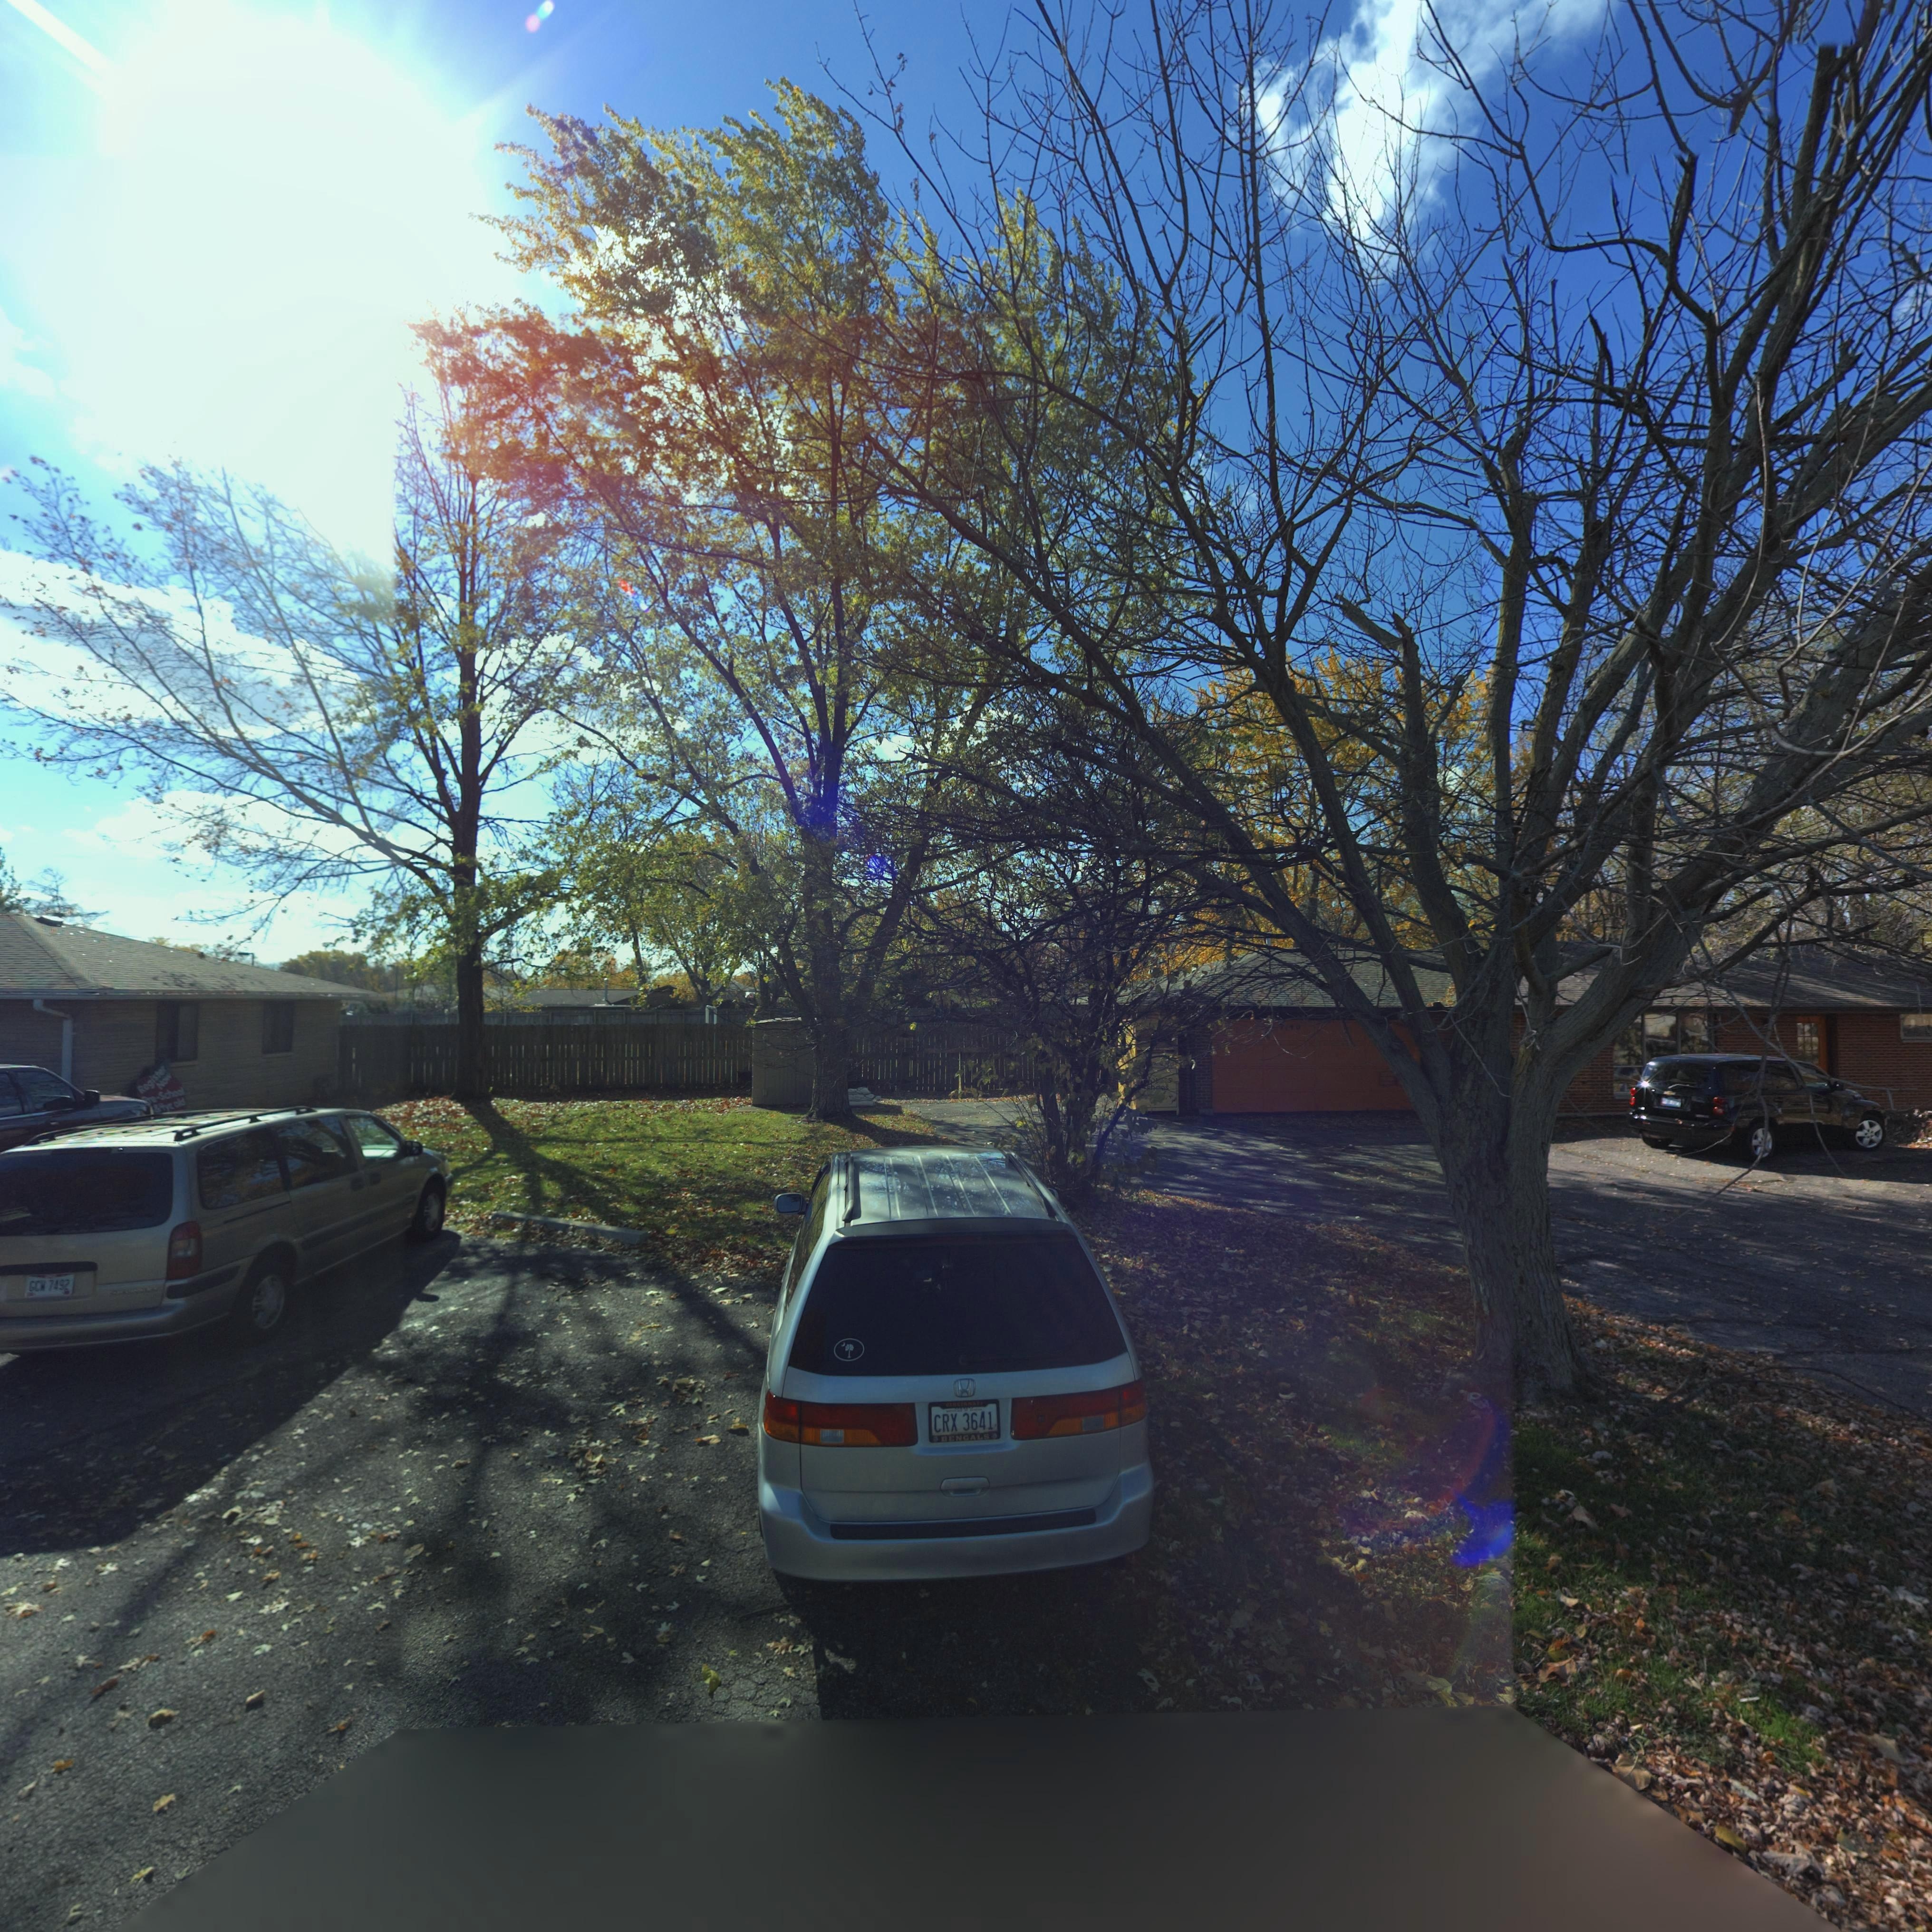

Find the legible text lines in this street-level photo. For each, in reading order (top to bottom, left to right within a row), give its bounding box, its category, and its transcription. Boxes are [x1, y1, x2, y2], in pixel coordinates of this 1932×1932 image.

[1277, 1022, 1302, 1032] StreetNumber: **40